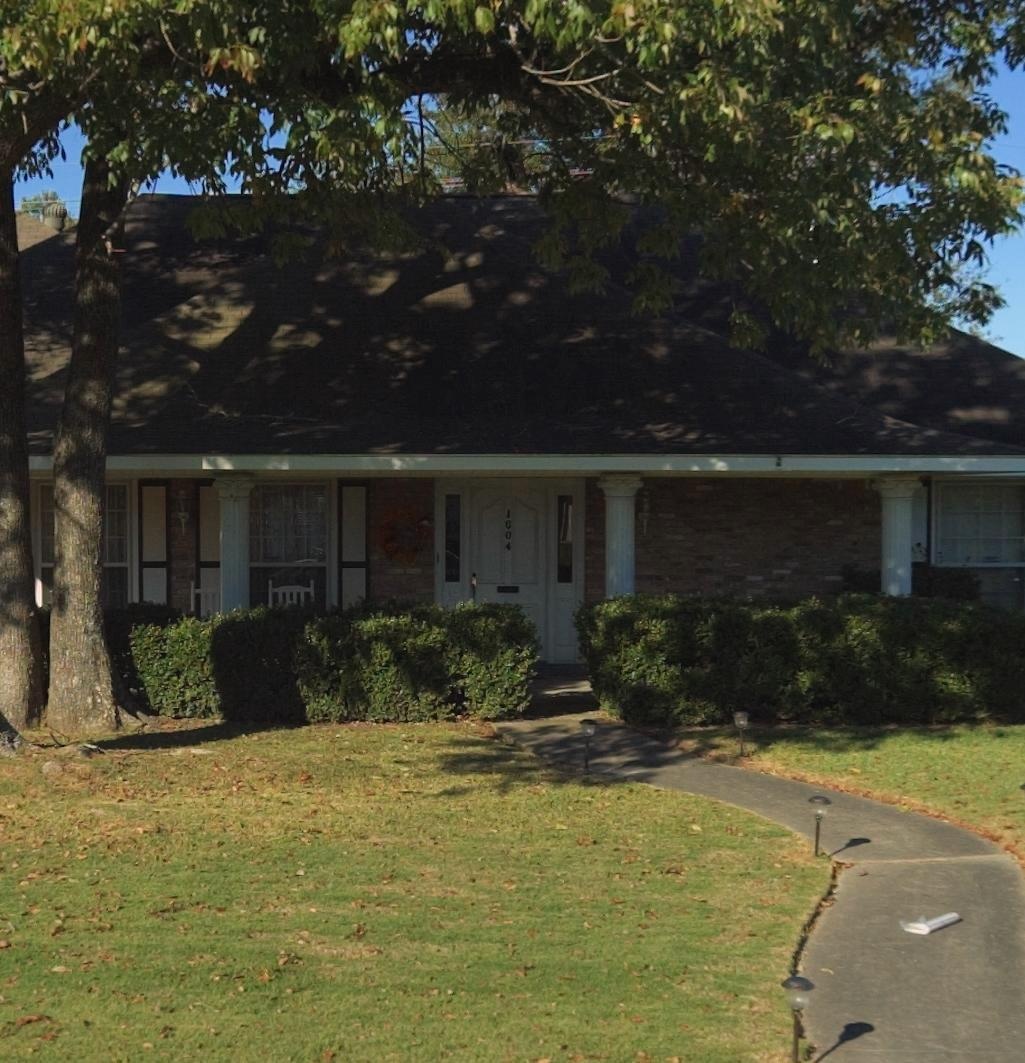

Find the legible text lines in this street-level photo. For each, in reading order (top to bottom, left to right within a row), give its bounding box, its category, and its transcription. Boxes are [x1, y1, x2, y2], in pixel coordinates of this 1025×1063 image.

[503, 507, 514, 552] StreetNumber: 1*04